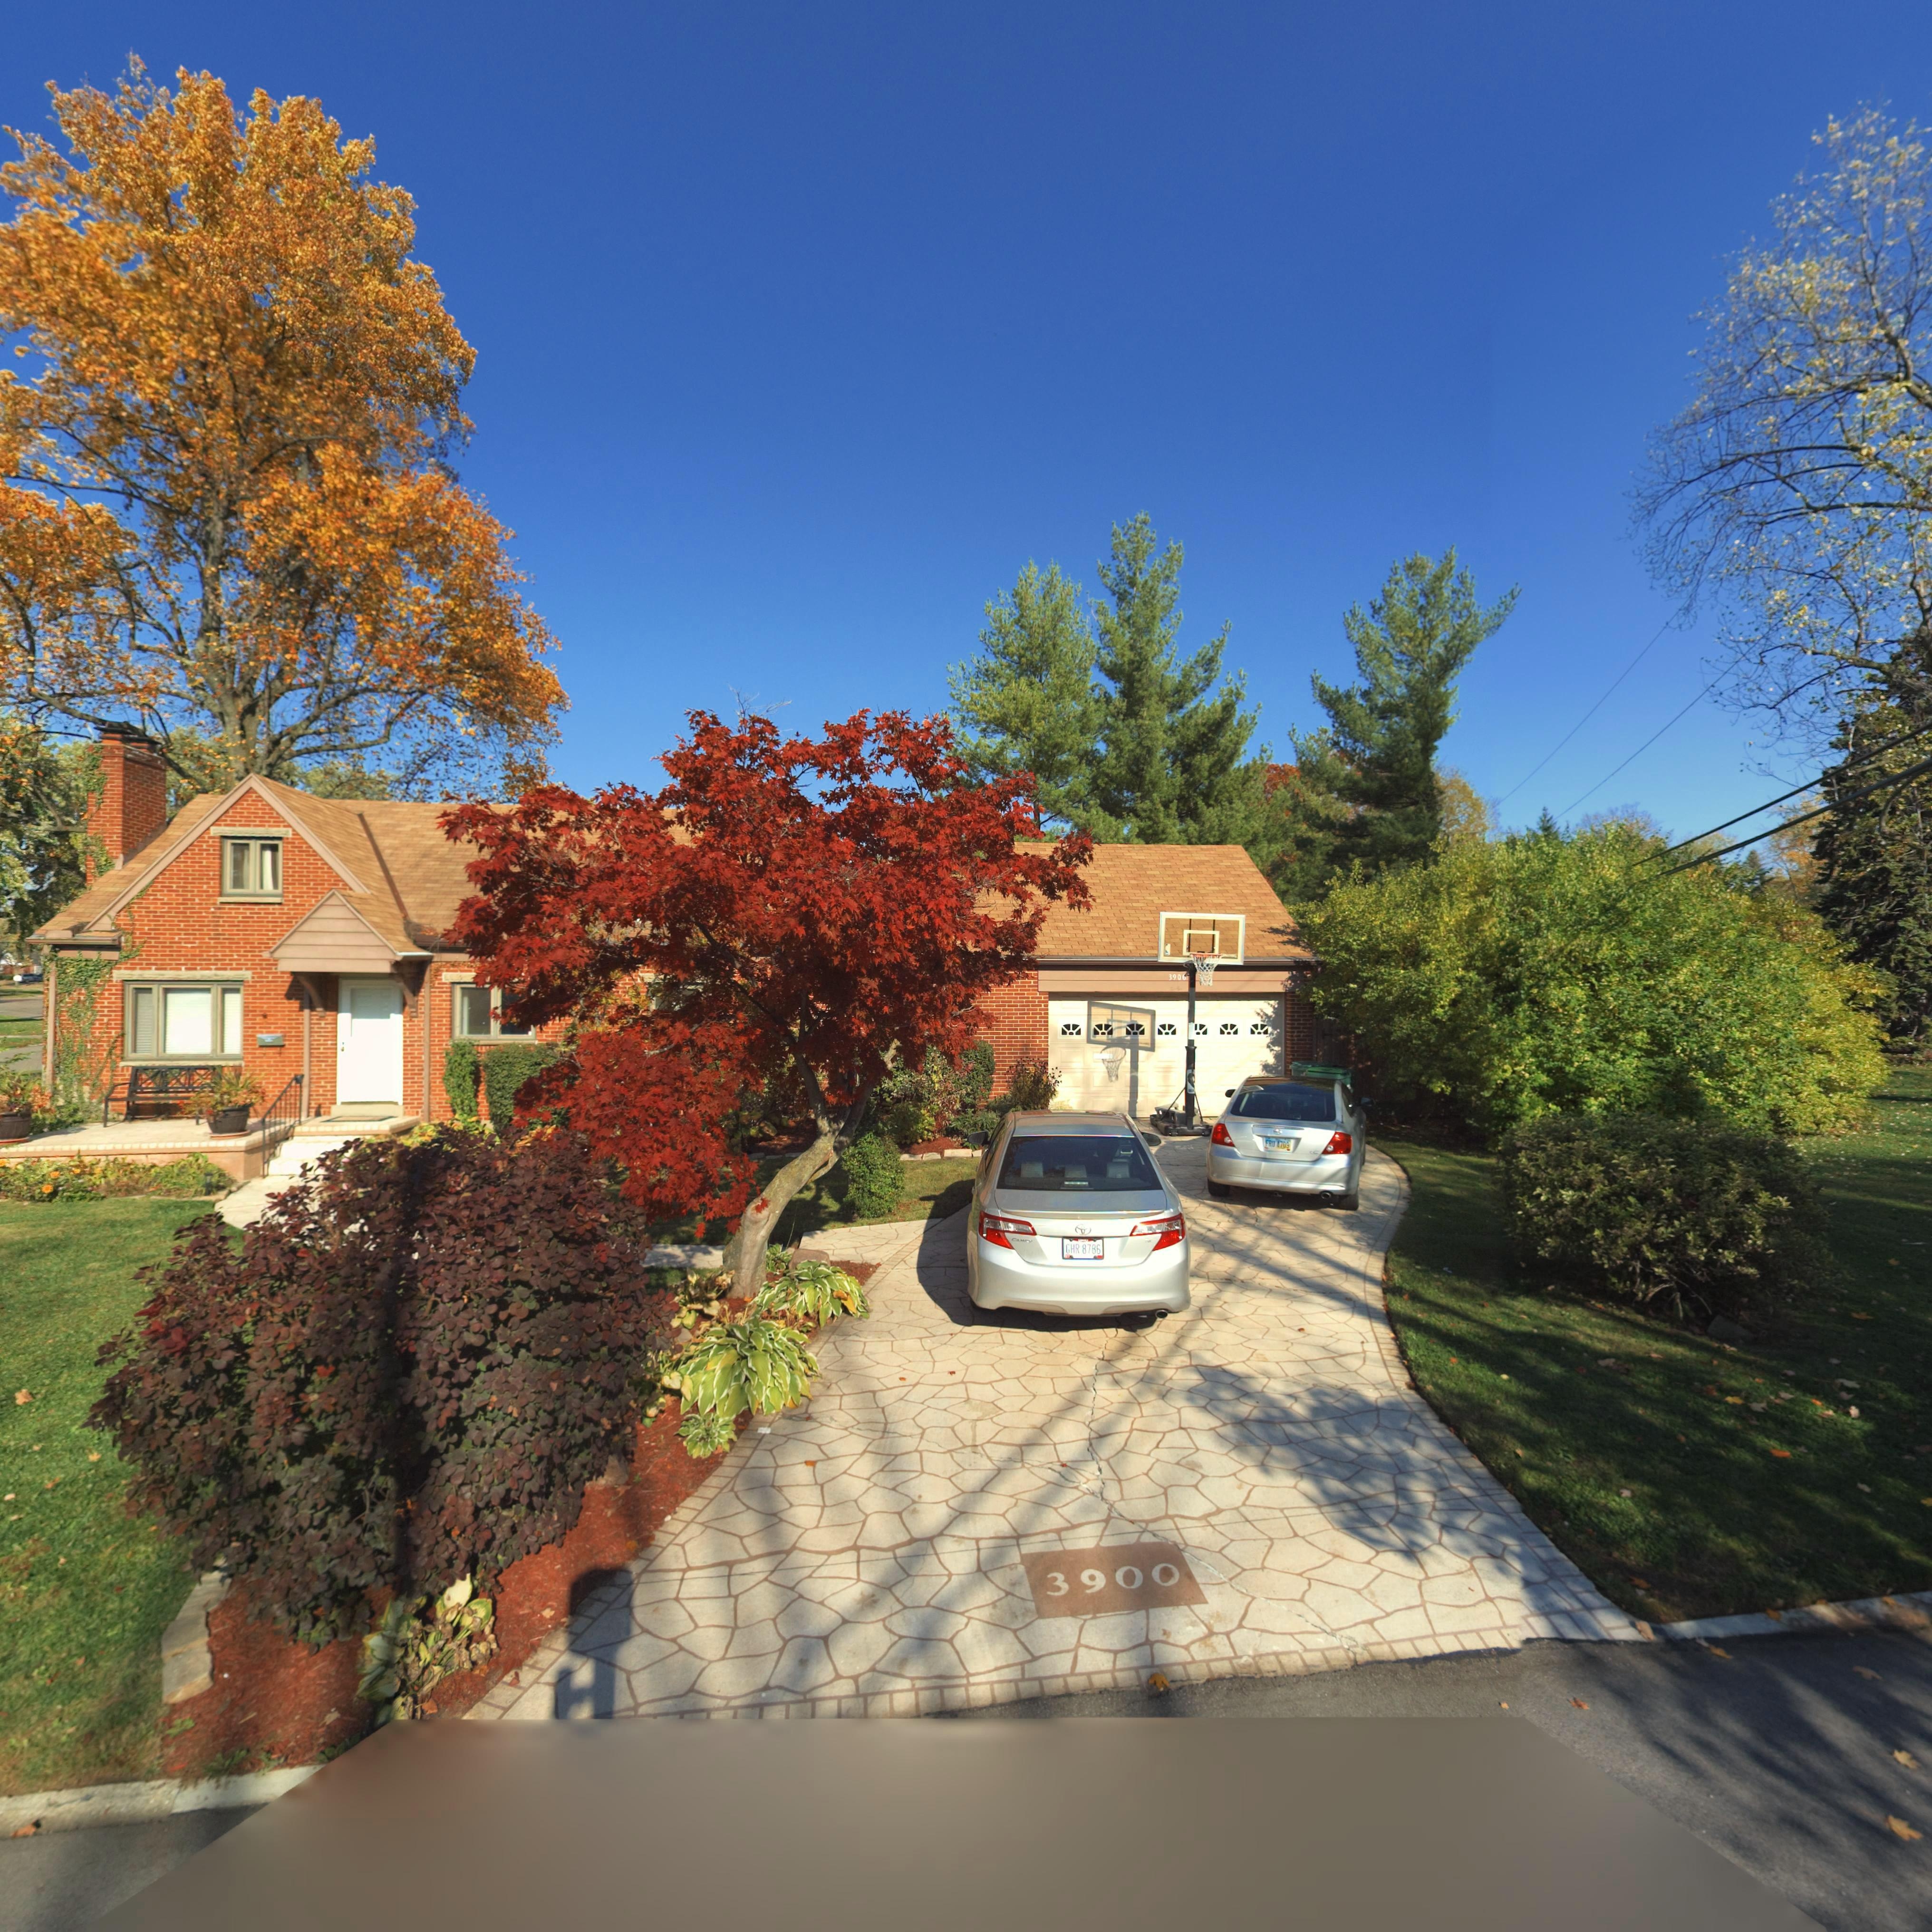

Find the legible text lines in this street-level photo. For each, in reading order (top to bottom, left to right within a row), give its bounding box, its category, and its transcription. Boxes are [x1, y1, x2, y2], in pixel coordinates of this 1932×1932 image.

[1168, 973, 1182, 982] StreetNumber: 390
[1043, 1560, 1182, 1599] StreetNumber: 3900